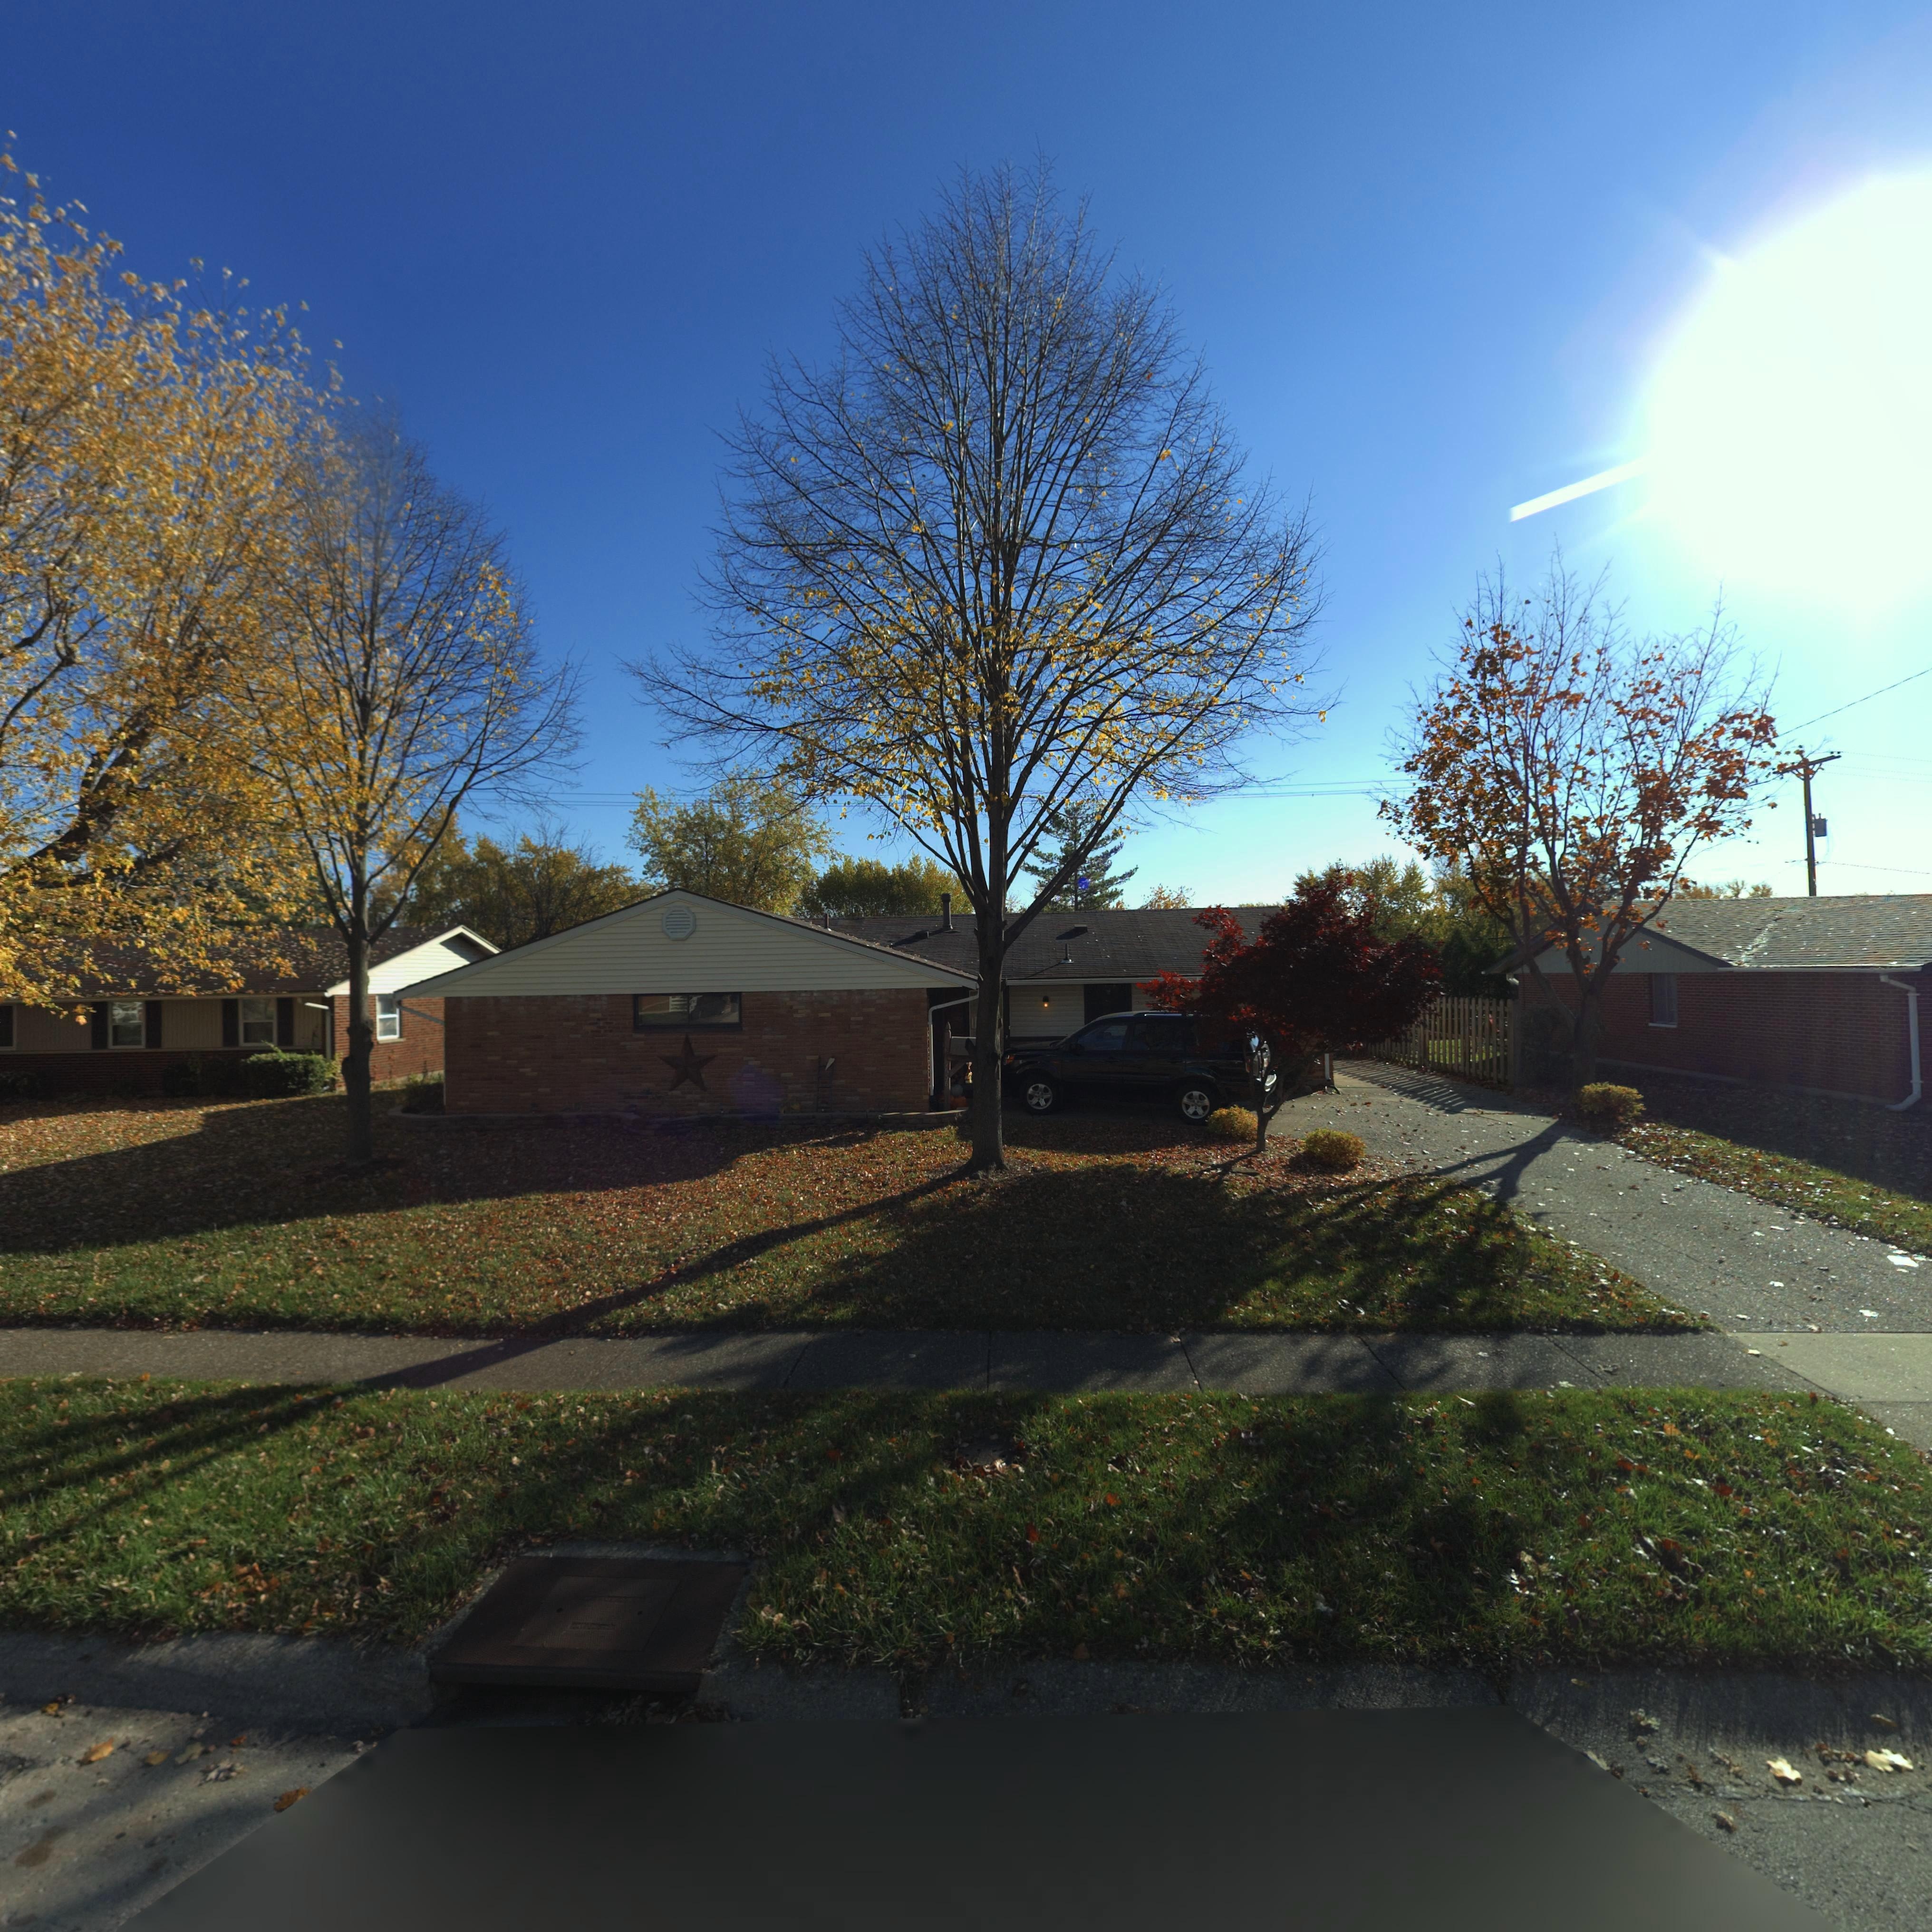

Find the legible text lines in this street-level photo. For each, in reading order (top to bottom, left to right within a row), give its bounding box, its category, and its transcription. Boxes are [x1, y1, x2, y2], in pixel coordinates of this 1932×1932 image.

[944, 1060, 951, 1088] StreetNumber: ***6